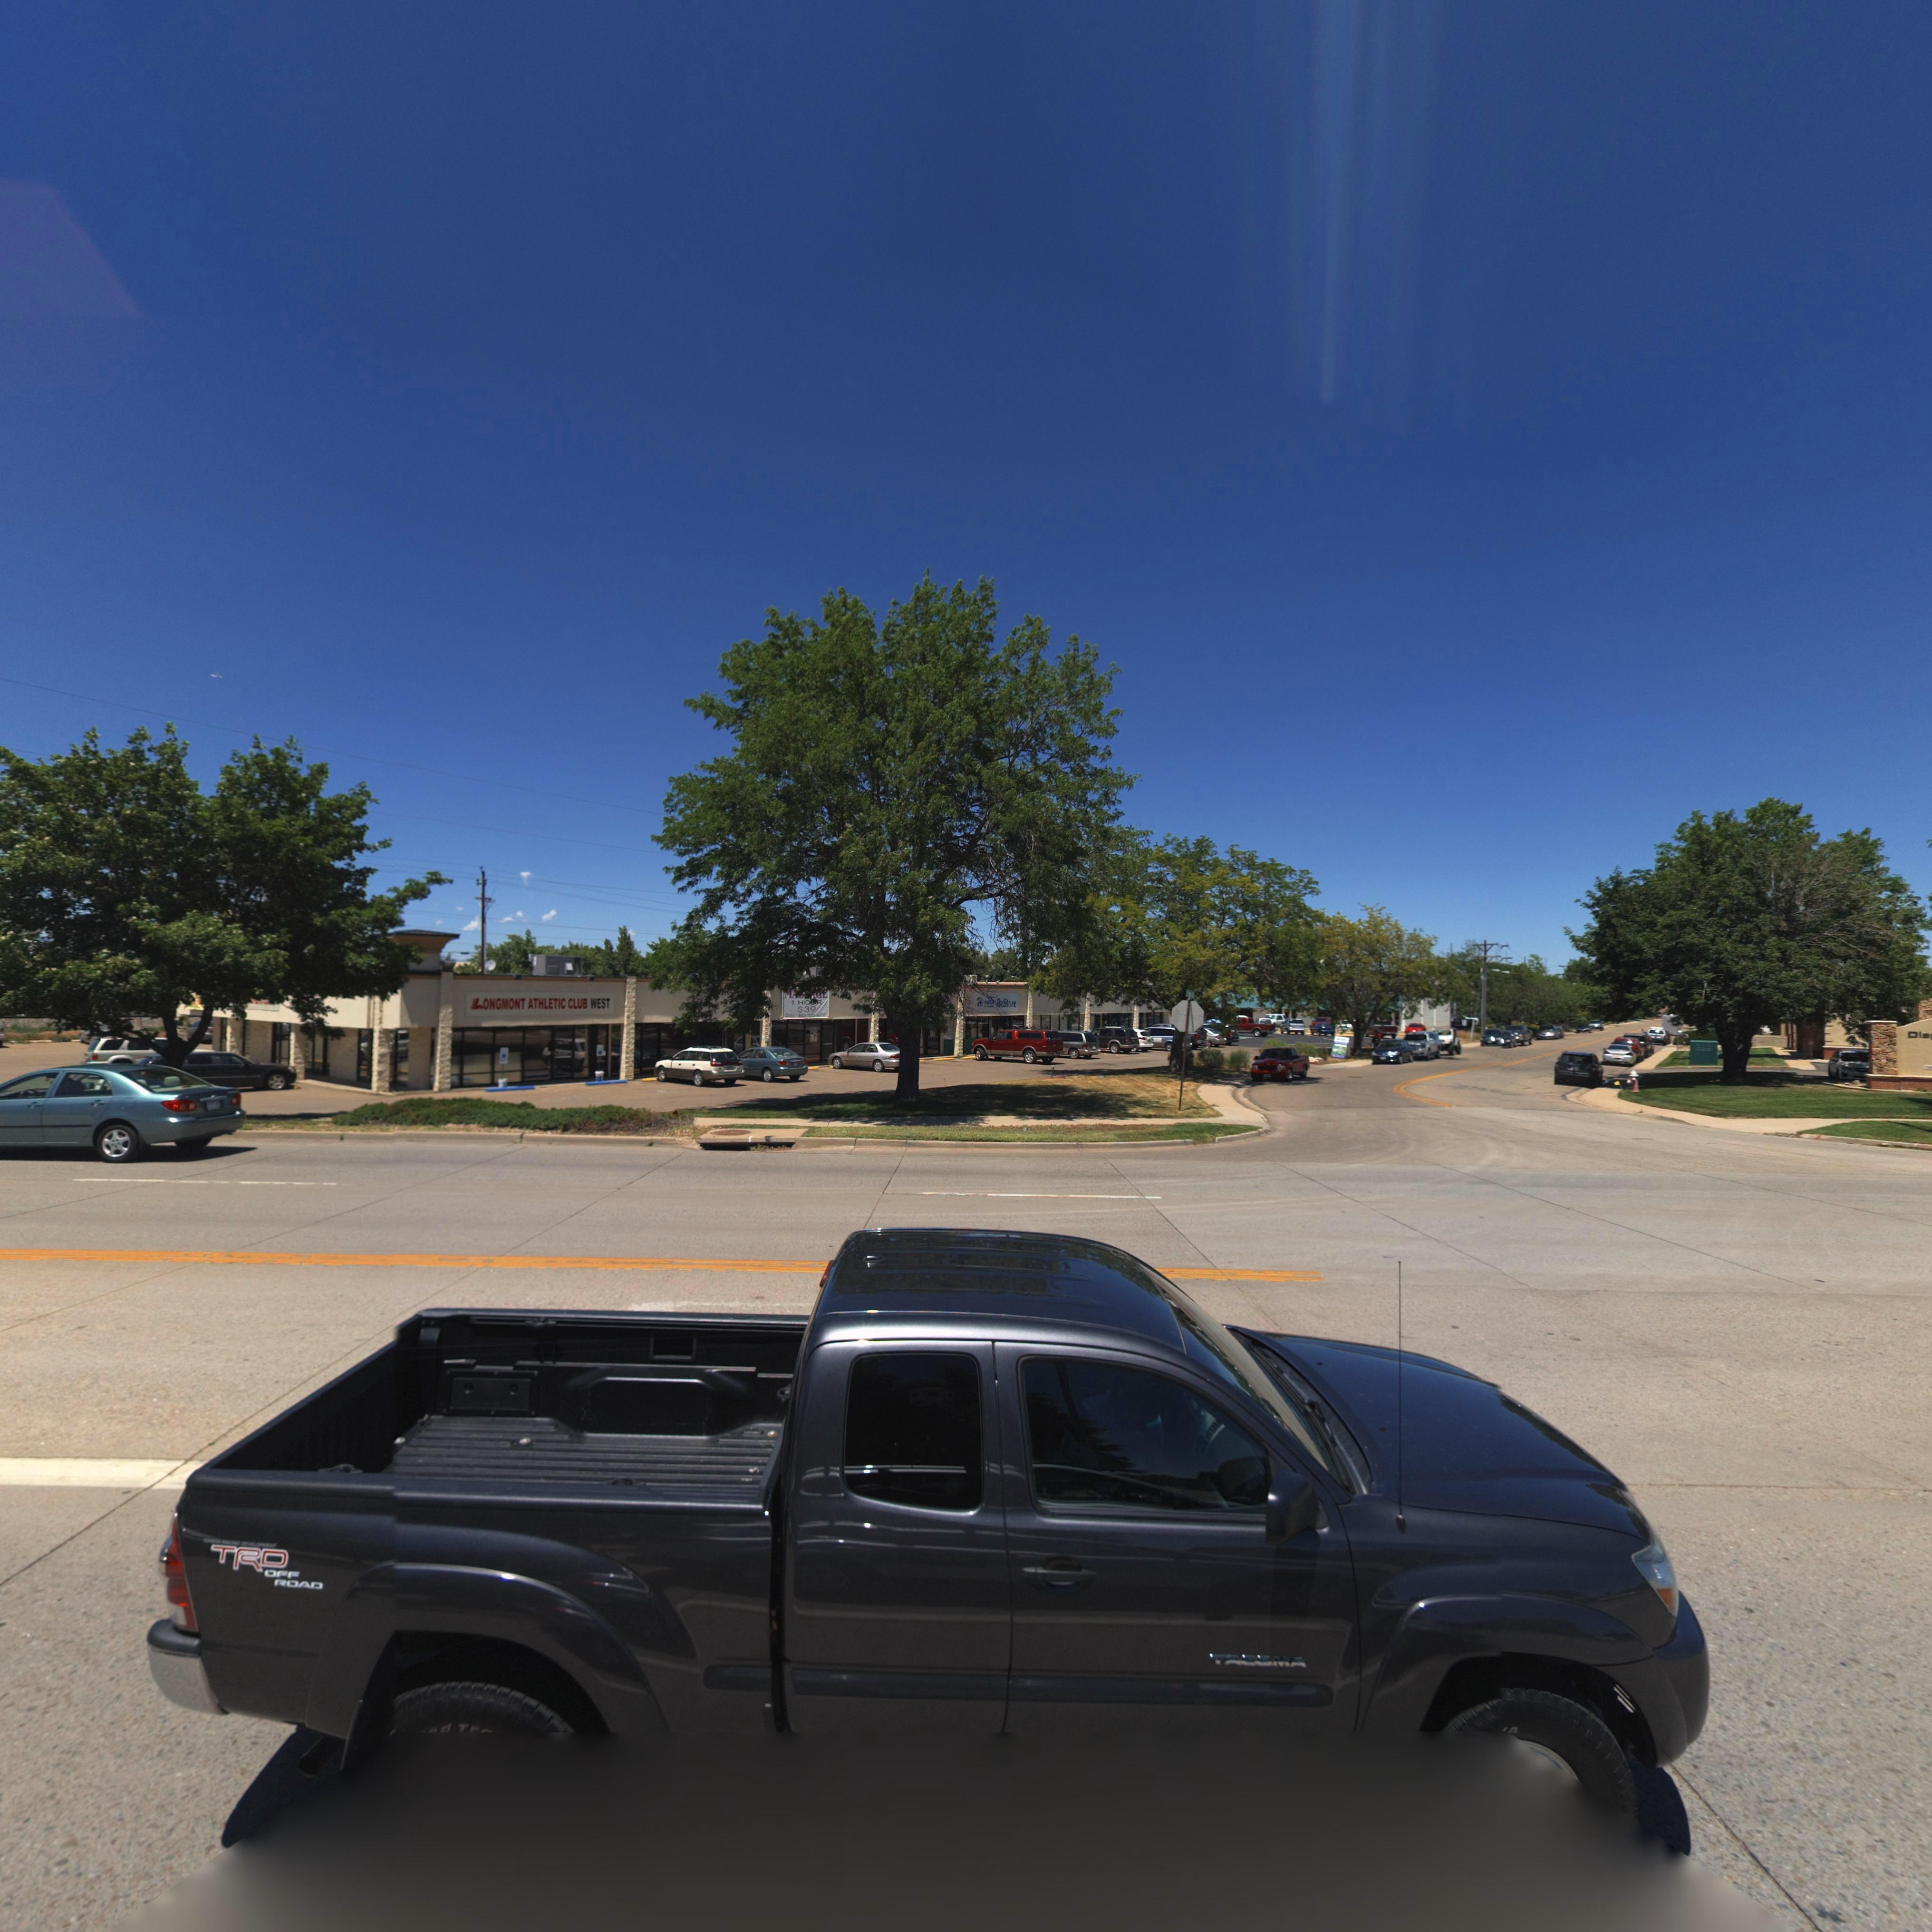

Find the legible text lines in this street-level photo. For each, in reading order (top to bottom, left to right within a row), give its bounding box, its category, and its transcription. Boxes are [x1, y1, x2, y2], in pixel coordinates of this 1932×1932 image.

[468, 997, 611, 1010] BusinessName: LONGMONT ATHLETIC CLUB WEST
[996, 997, 1016, 1007] BusinessName: ReStore